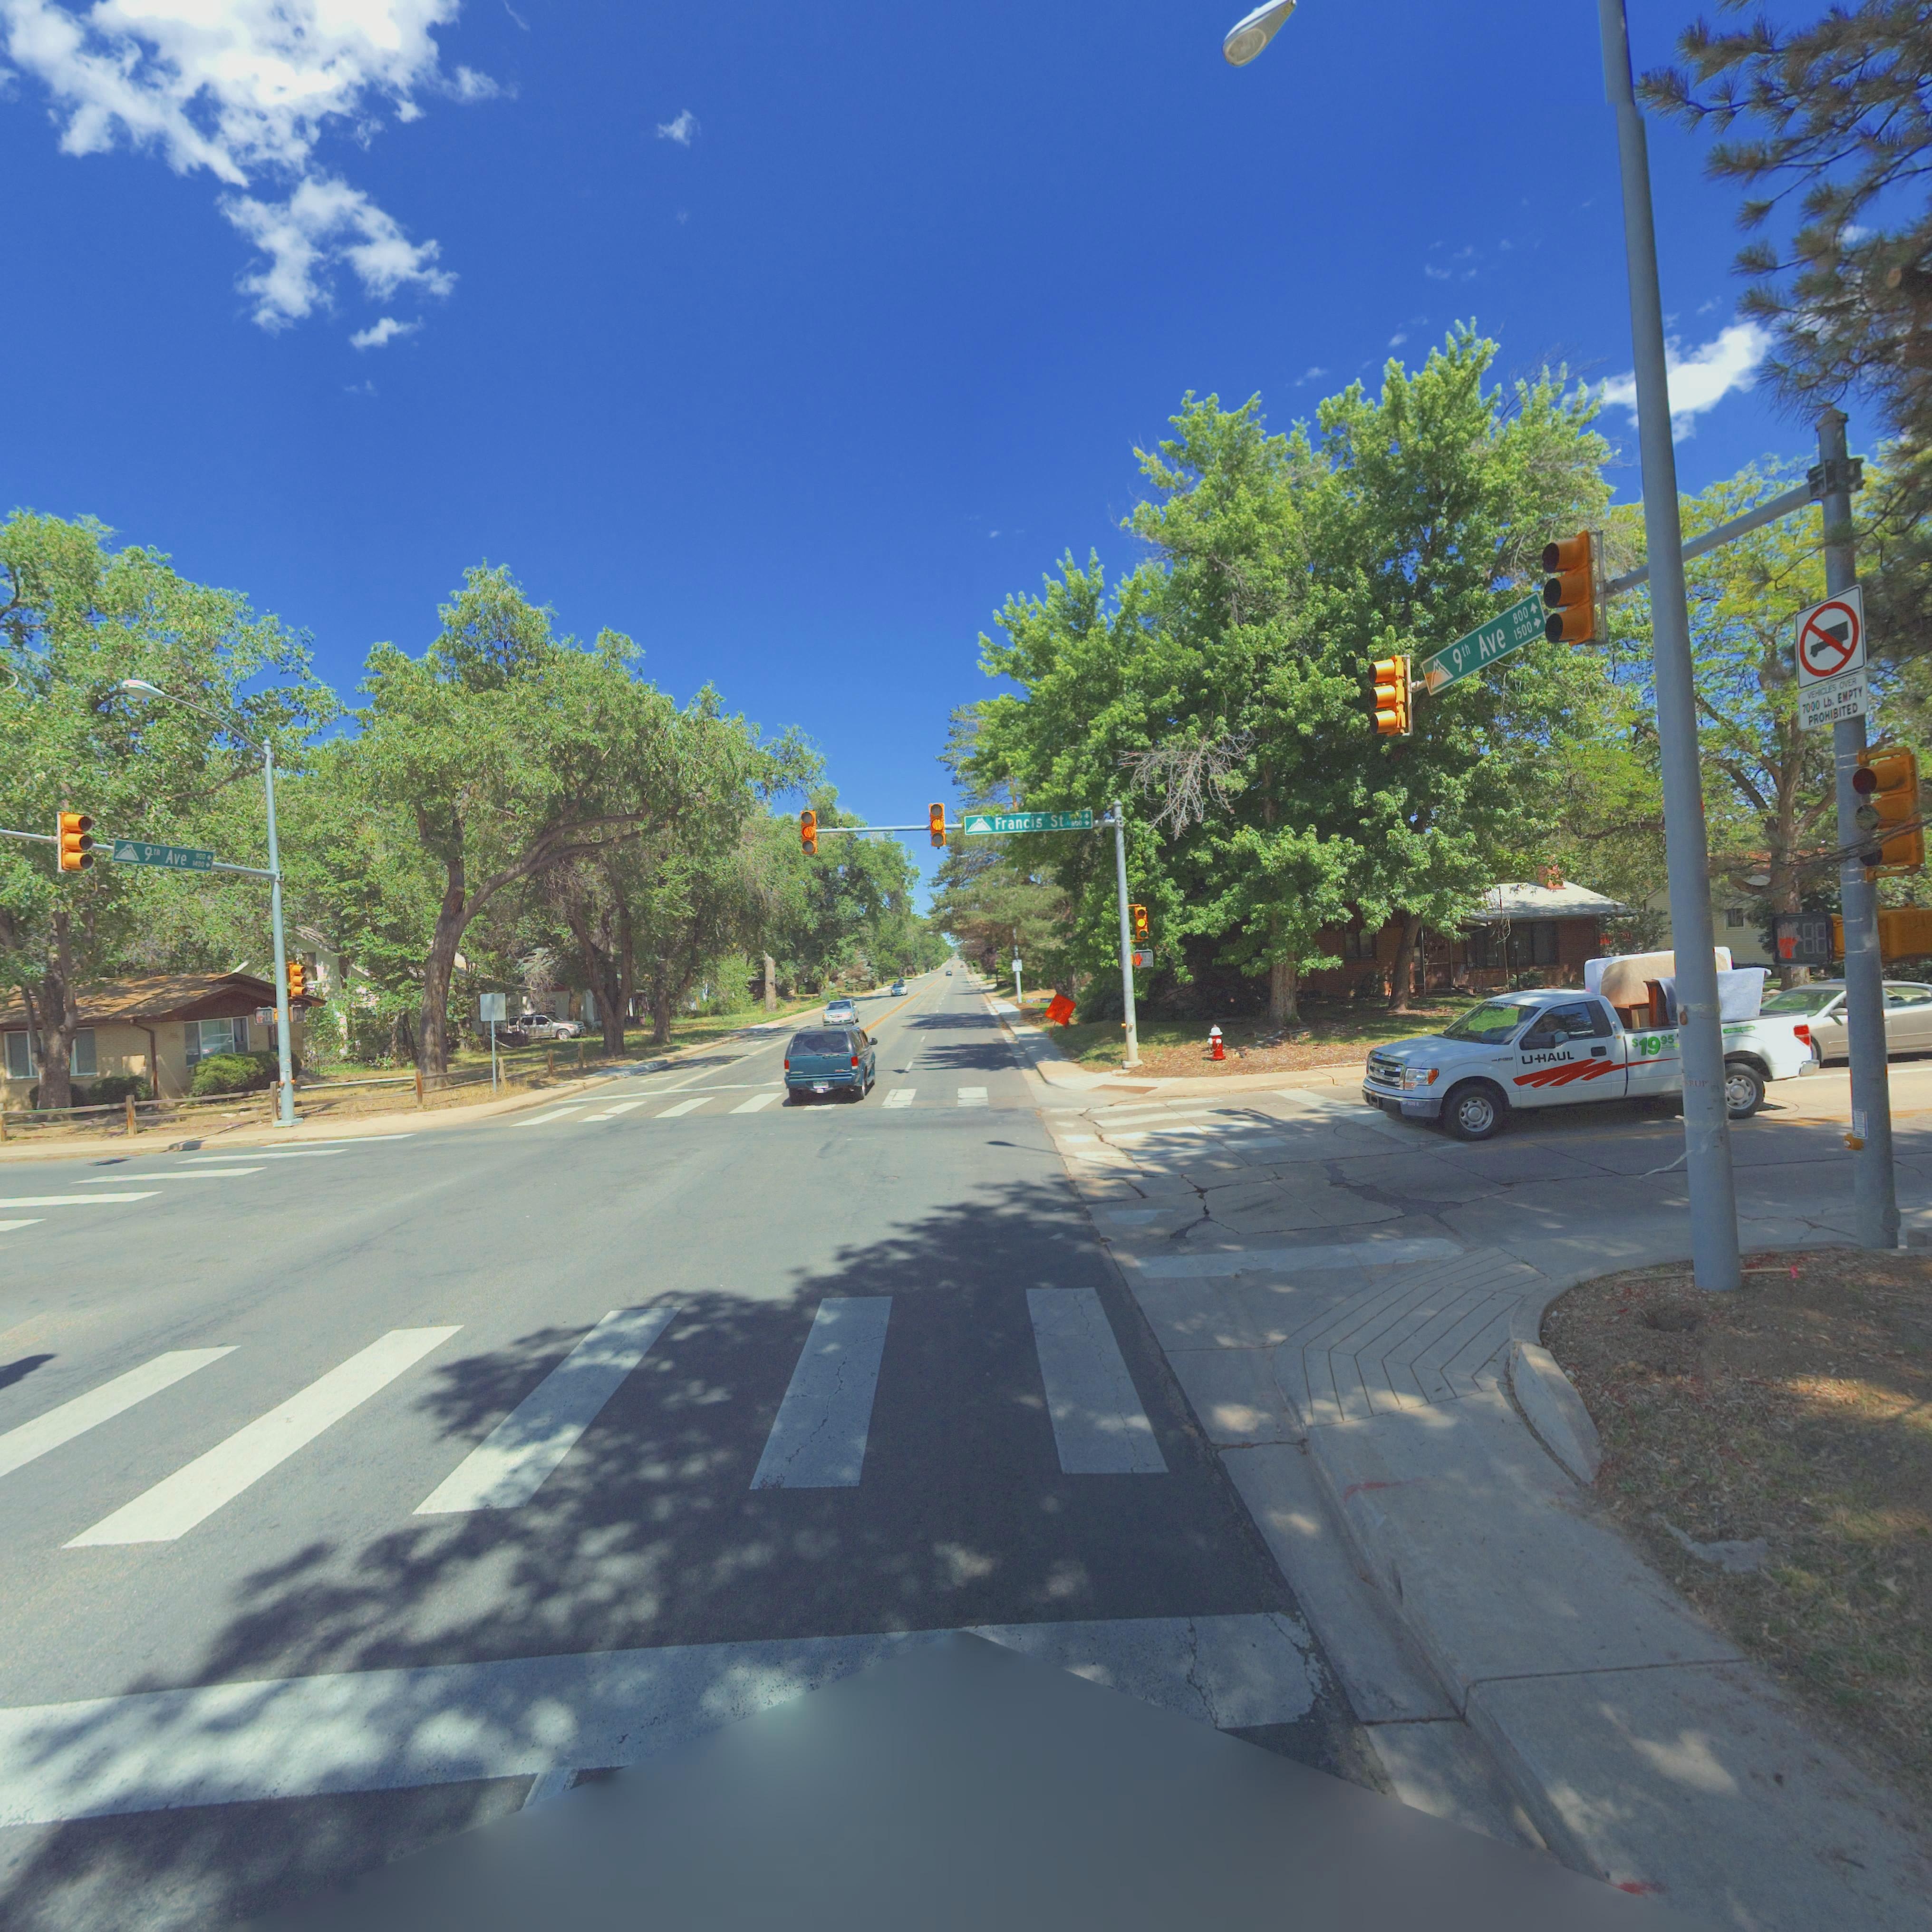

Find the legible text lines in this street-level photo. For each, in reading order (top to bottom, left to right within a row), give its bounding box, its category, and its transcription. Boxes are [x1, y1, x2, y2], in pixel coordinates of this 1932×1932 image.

[1512, 606, 1528, 625] StreetNumberRange: 800
[1513, 617, 1542, 641] StreetNumberRange: 1500->
[1452, 627, 1507, 673] StreetName: 9th Ave
[995, 814, 1063, 830] StreetName: Francis St
[1071, 820, 1082, 826] StreetNumberRange: 800
[145, 846, 187, 865] StreetName: 9** Ave
[192, 860, 204, 867] StreetNumberRange: 14**
[195, 852, 206, 860] StreetNumberRange: 900